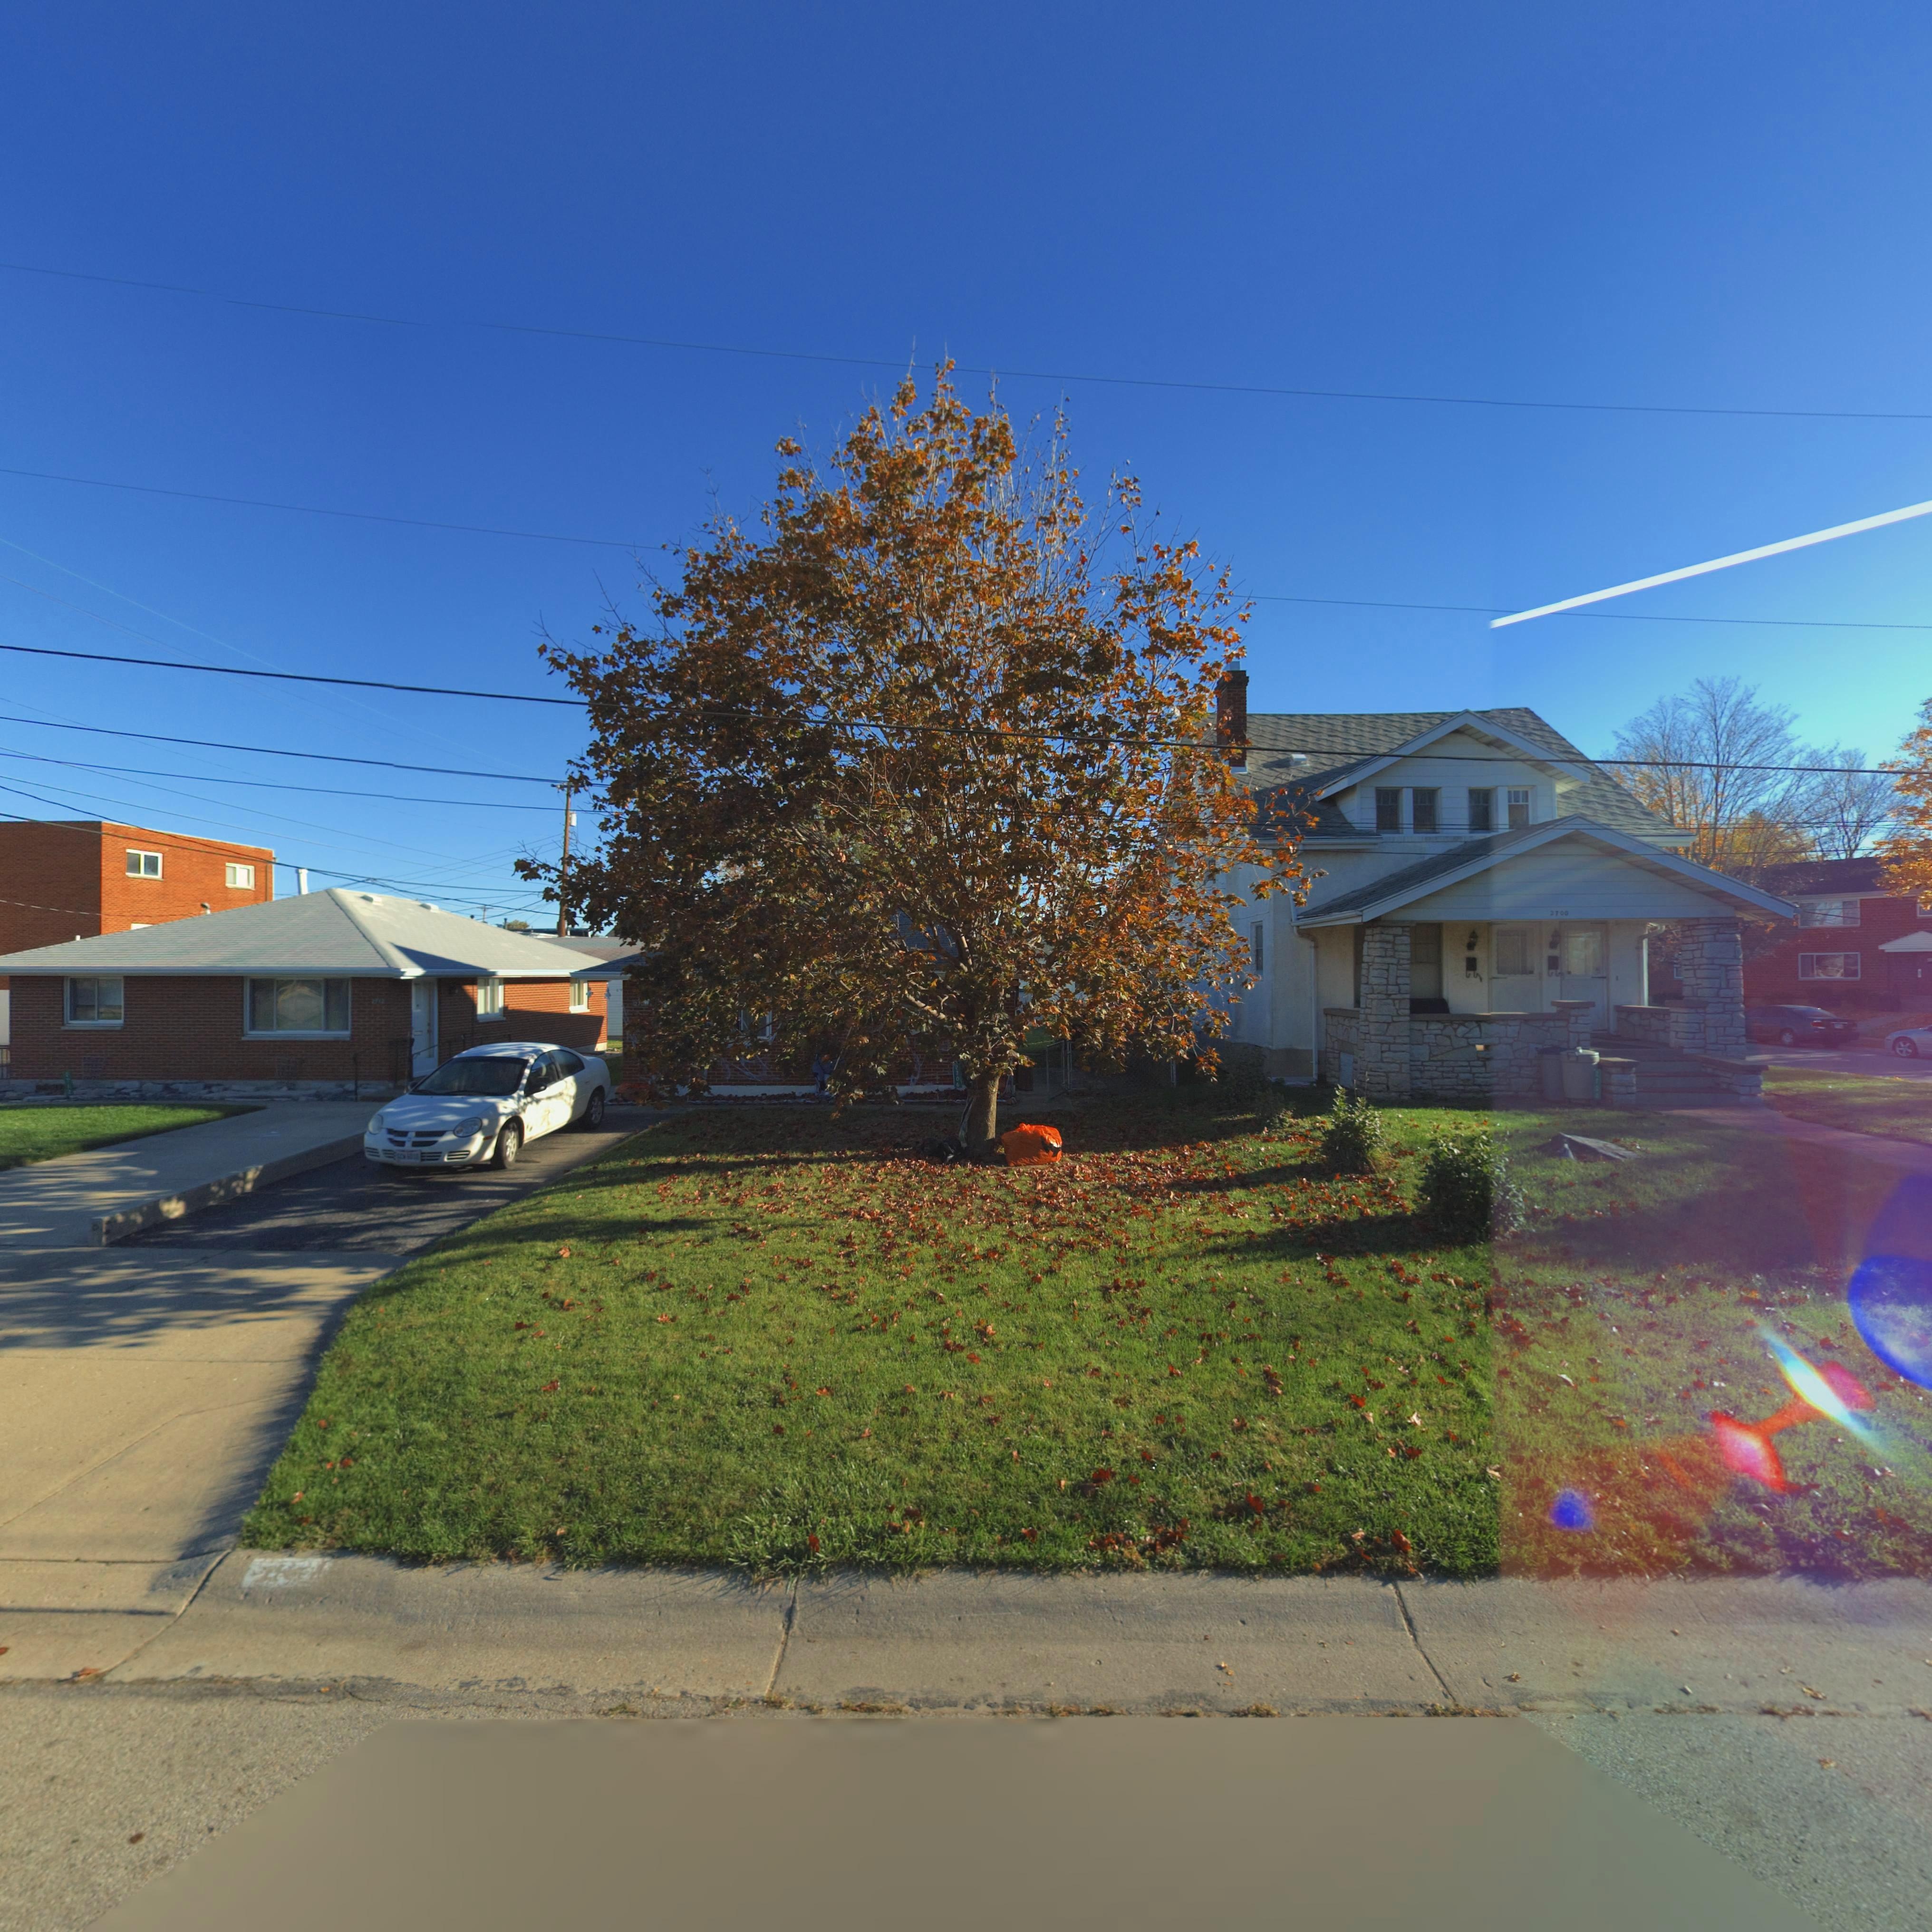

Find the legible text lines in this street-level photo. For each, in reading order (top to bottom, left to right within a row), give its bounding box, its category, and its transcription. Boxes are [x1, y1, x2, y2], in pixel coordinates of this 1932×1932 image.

[1549, 910, 1569, 917] StreetNumber: 2700
[633, 1001, 645, 1007] StreetNumber: 2**